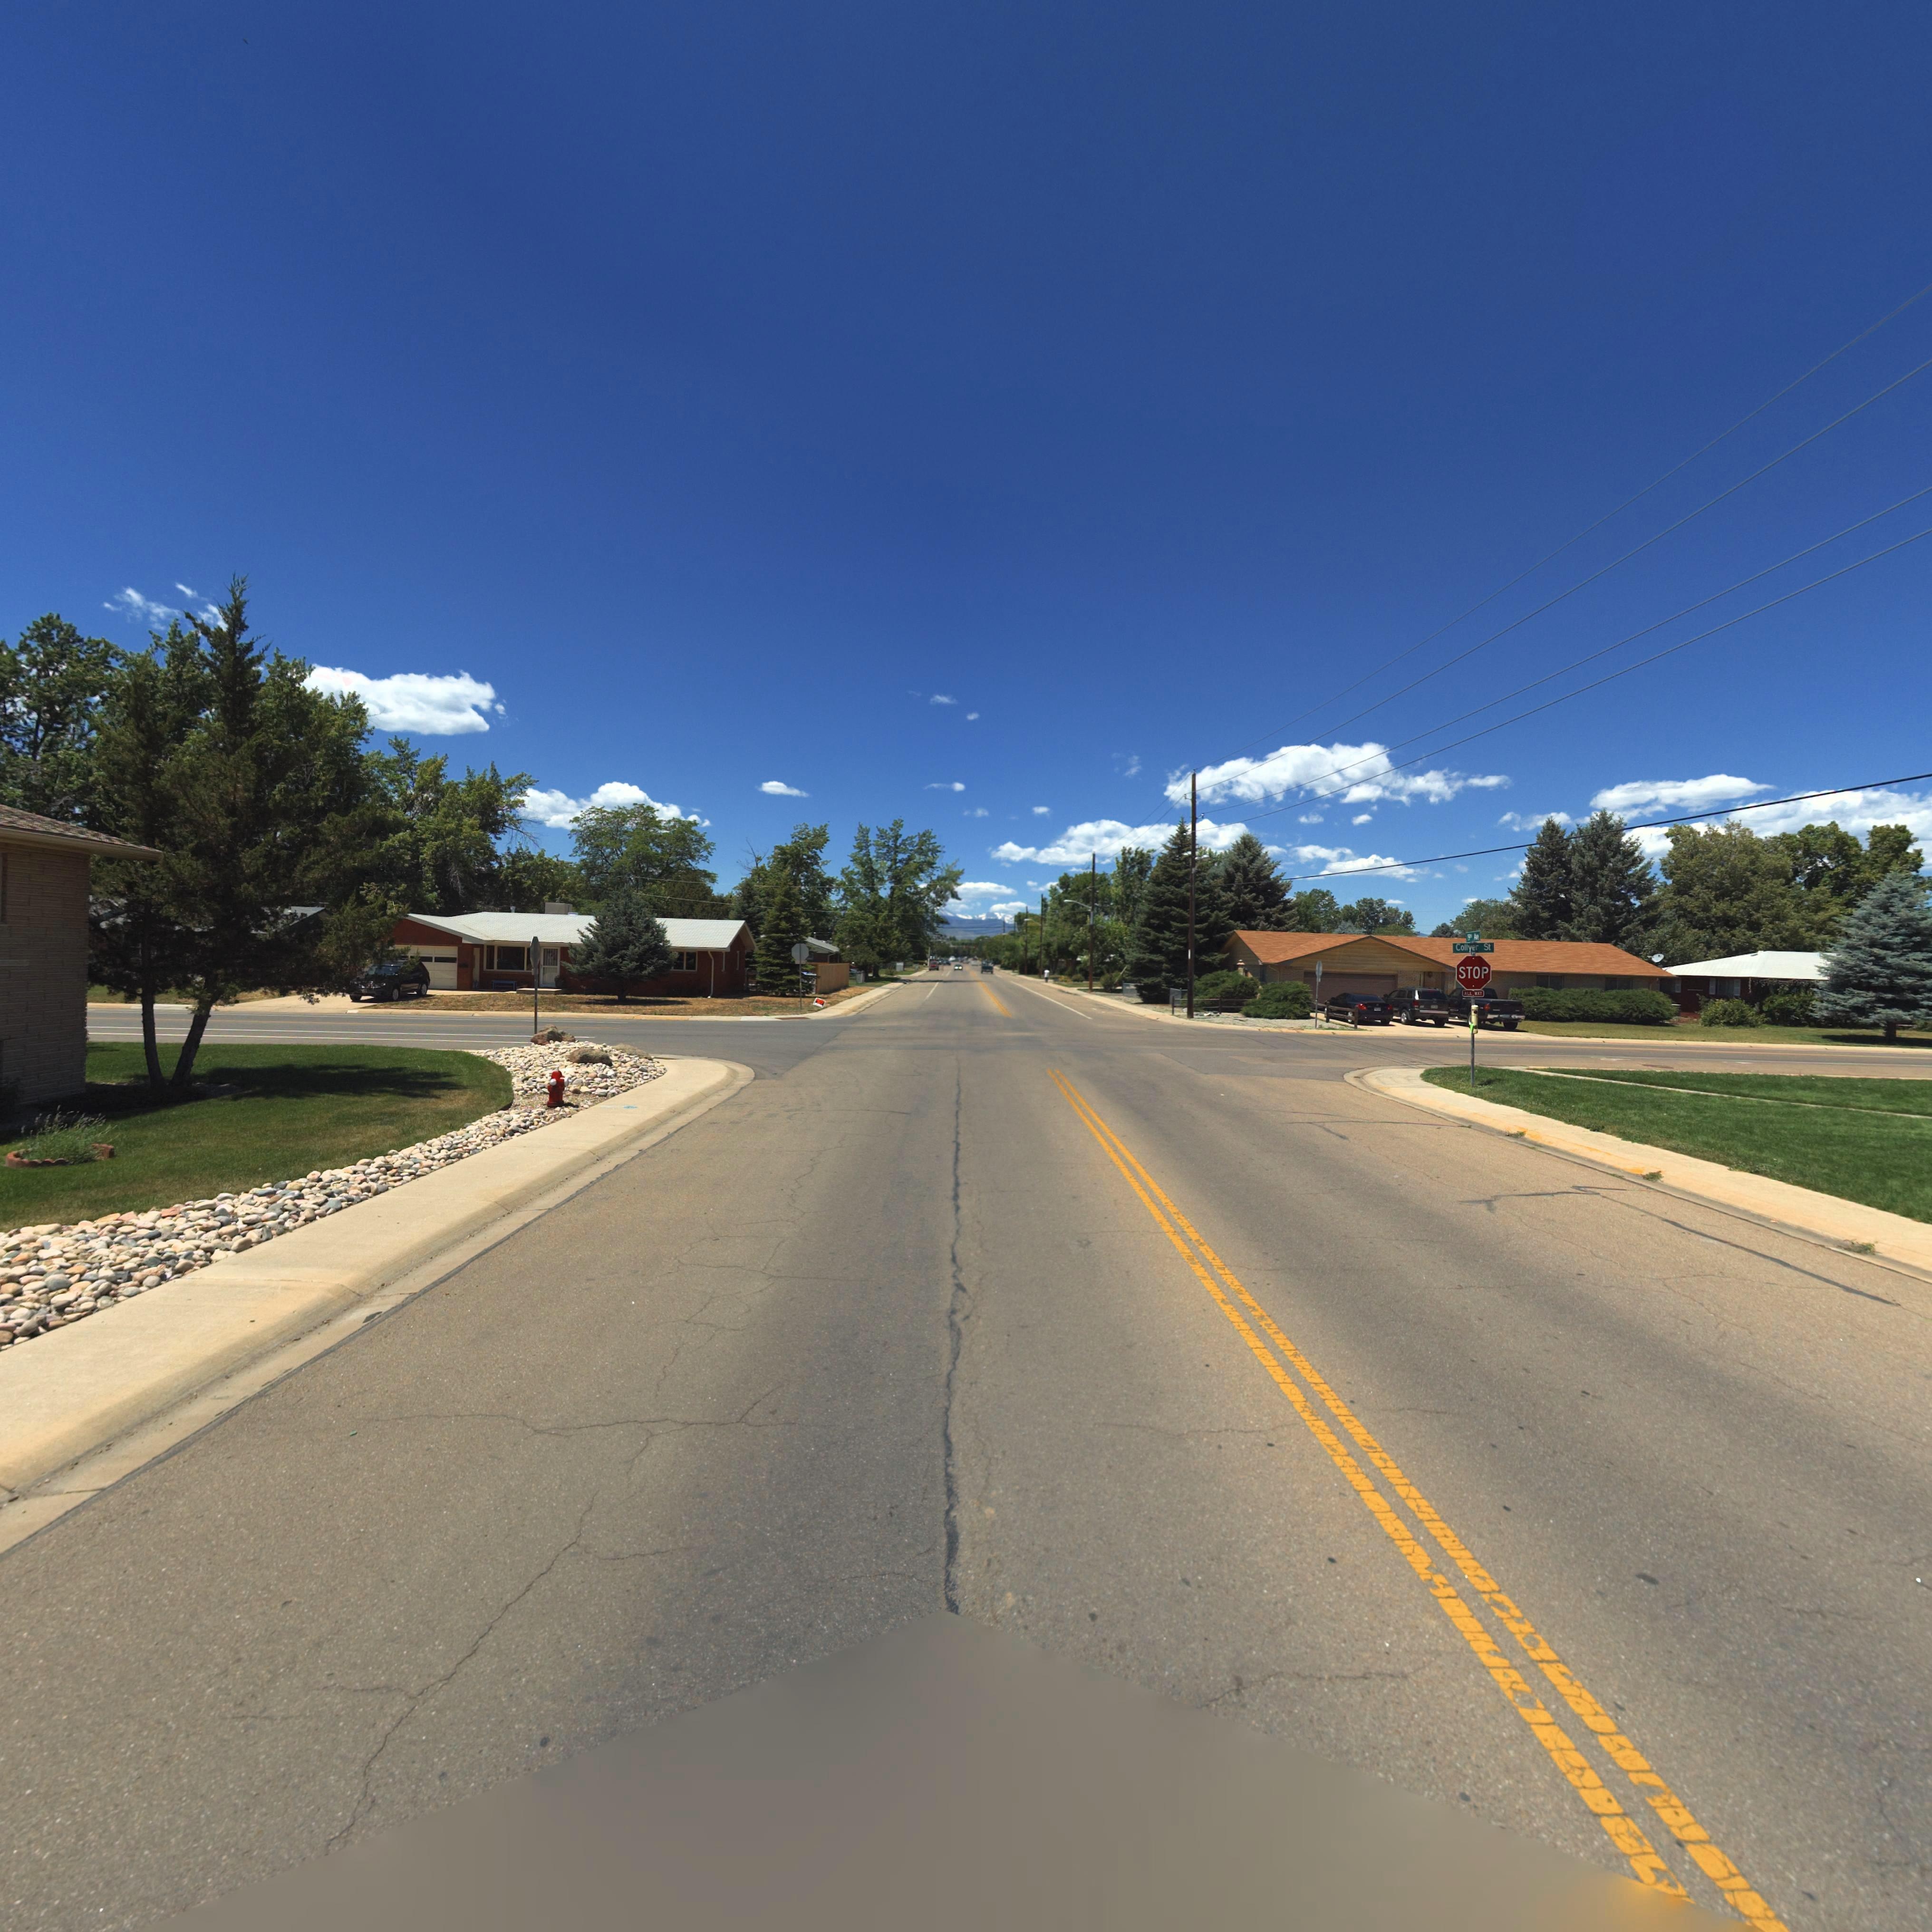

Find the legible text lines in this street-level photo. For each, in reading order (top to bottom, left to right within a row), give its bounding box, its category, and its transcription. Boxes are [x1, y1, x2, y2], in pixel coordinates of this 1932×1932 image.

[1467, 933, 1478, 941] StreetName: 19** A*e
[1455, 943, 1491, 953] StreetName: Collyer St